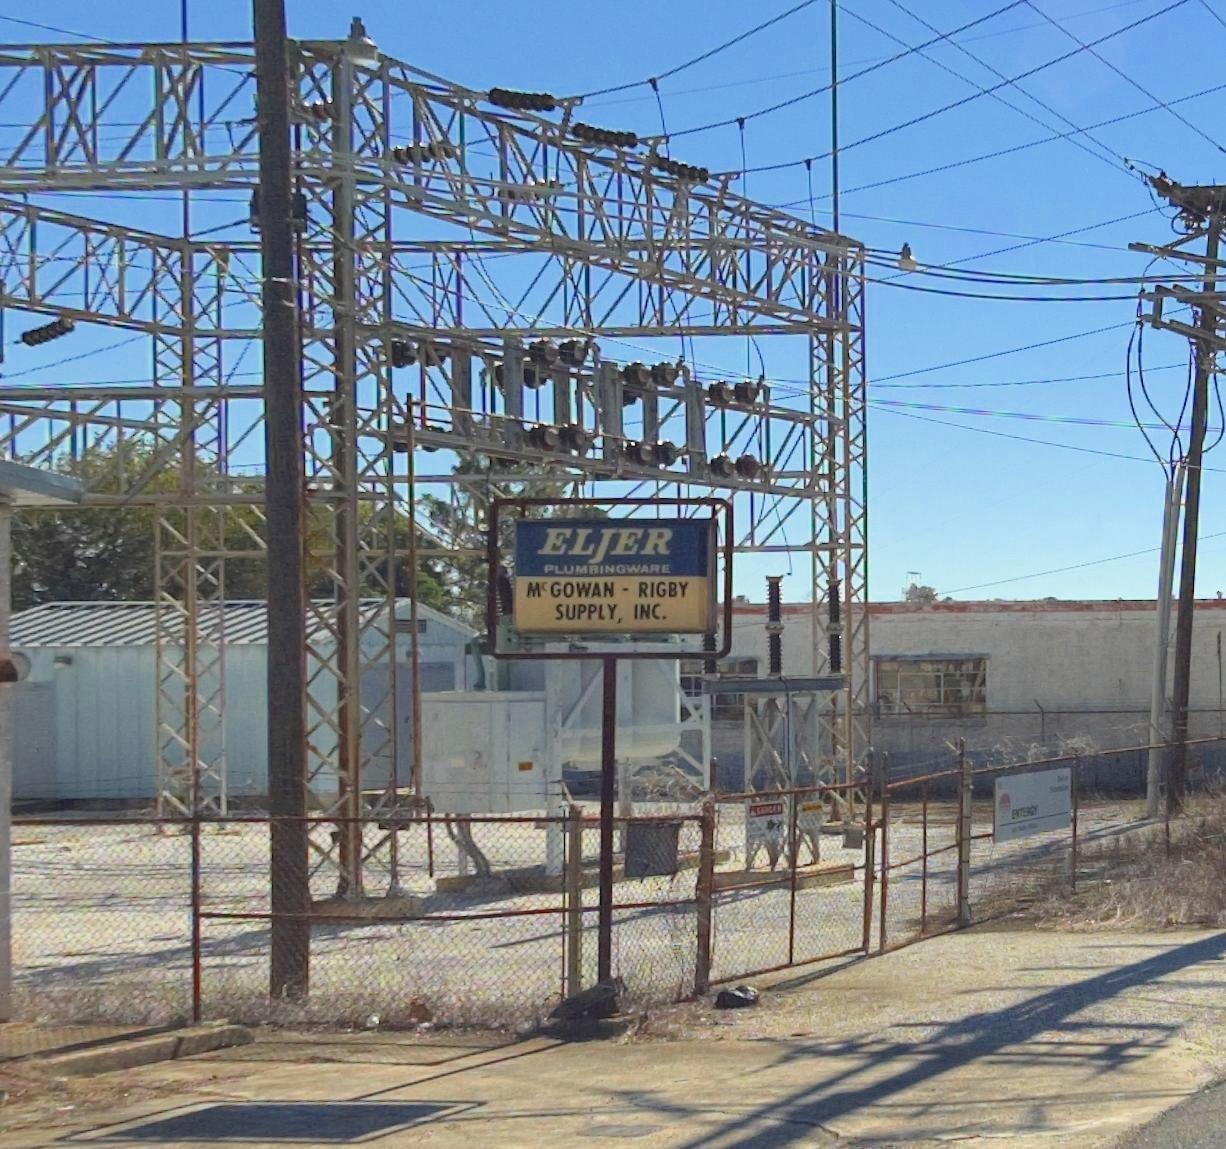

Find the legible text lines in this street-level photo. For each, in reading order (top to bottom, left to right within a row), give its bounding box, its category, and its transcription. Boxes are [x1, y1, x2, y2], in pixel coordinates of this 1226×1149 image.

[532, 524, 676, 566] BusinessName: ELJER
[541, 561, 673, 576] BusinessName: PLUMBINGWARE
[521, 578, 692, 599] BusinessName: McGOWAN - RIGBY
[551, 600, 668, 624] BusinessName: SUPPLY, INC.